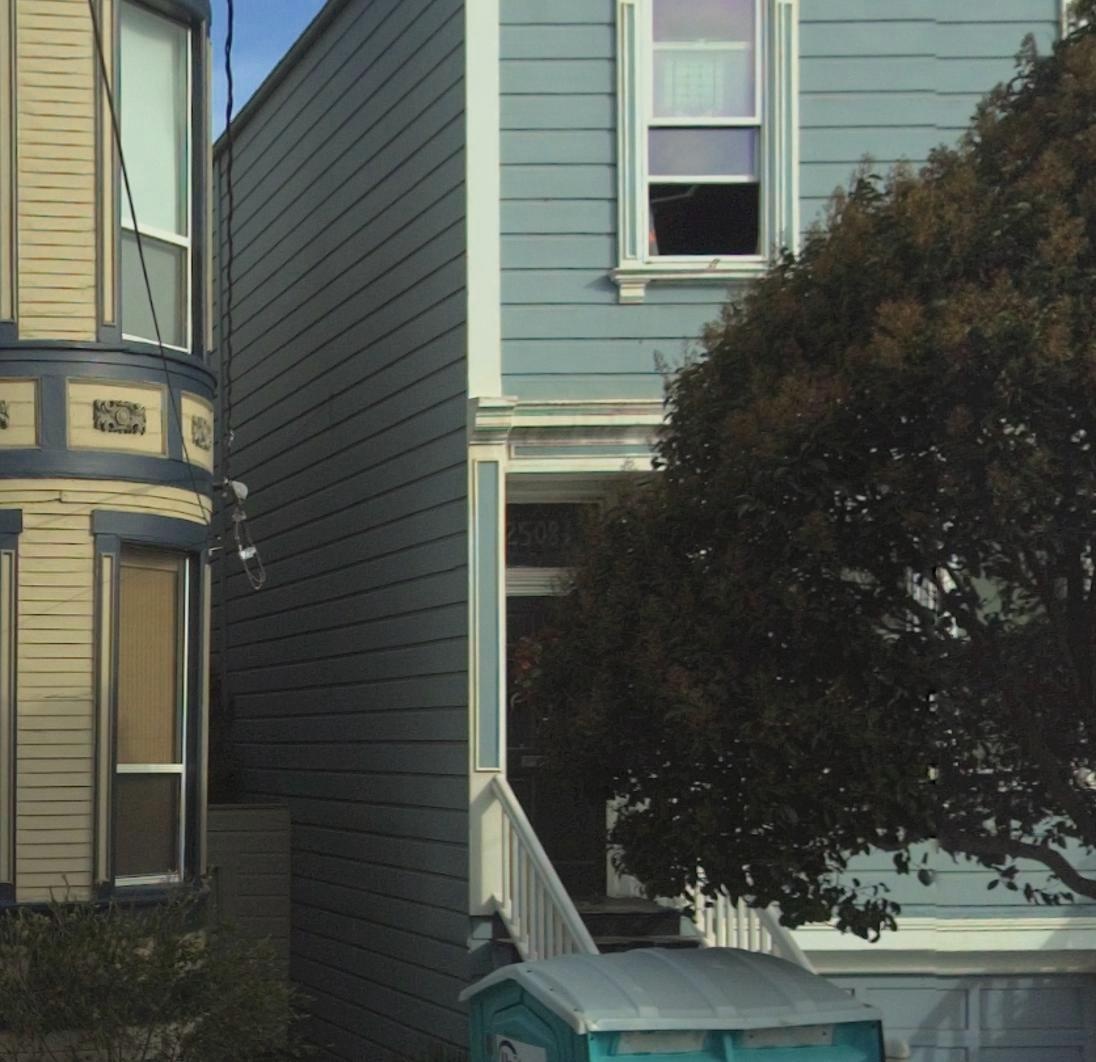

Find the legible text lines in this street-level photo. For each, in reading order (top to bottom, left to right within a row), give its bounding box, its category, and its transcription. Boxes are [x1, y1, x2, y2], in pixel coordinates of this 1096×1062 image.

[502, 517, 563, 549] StreetNumber: 2508